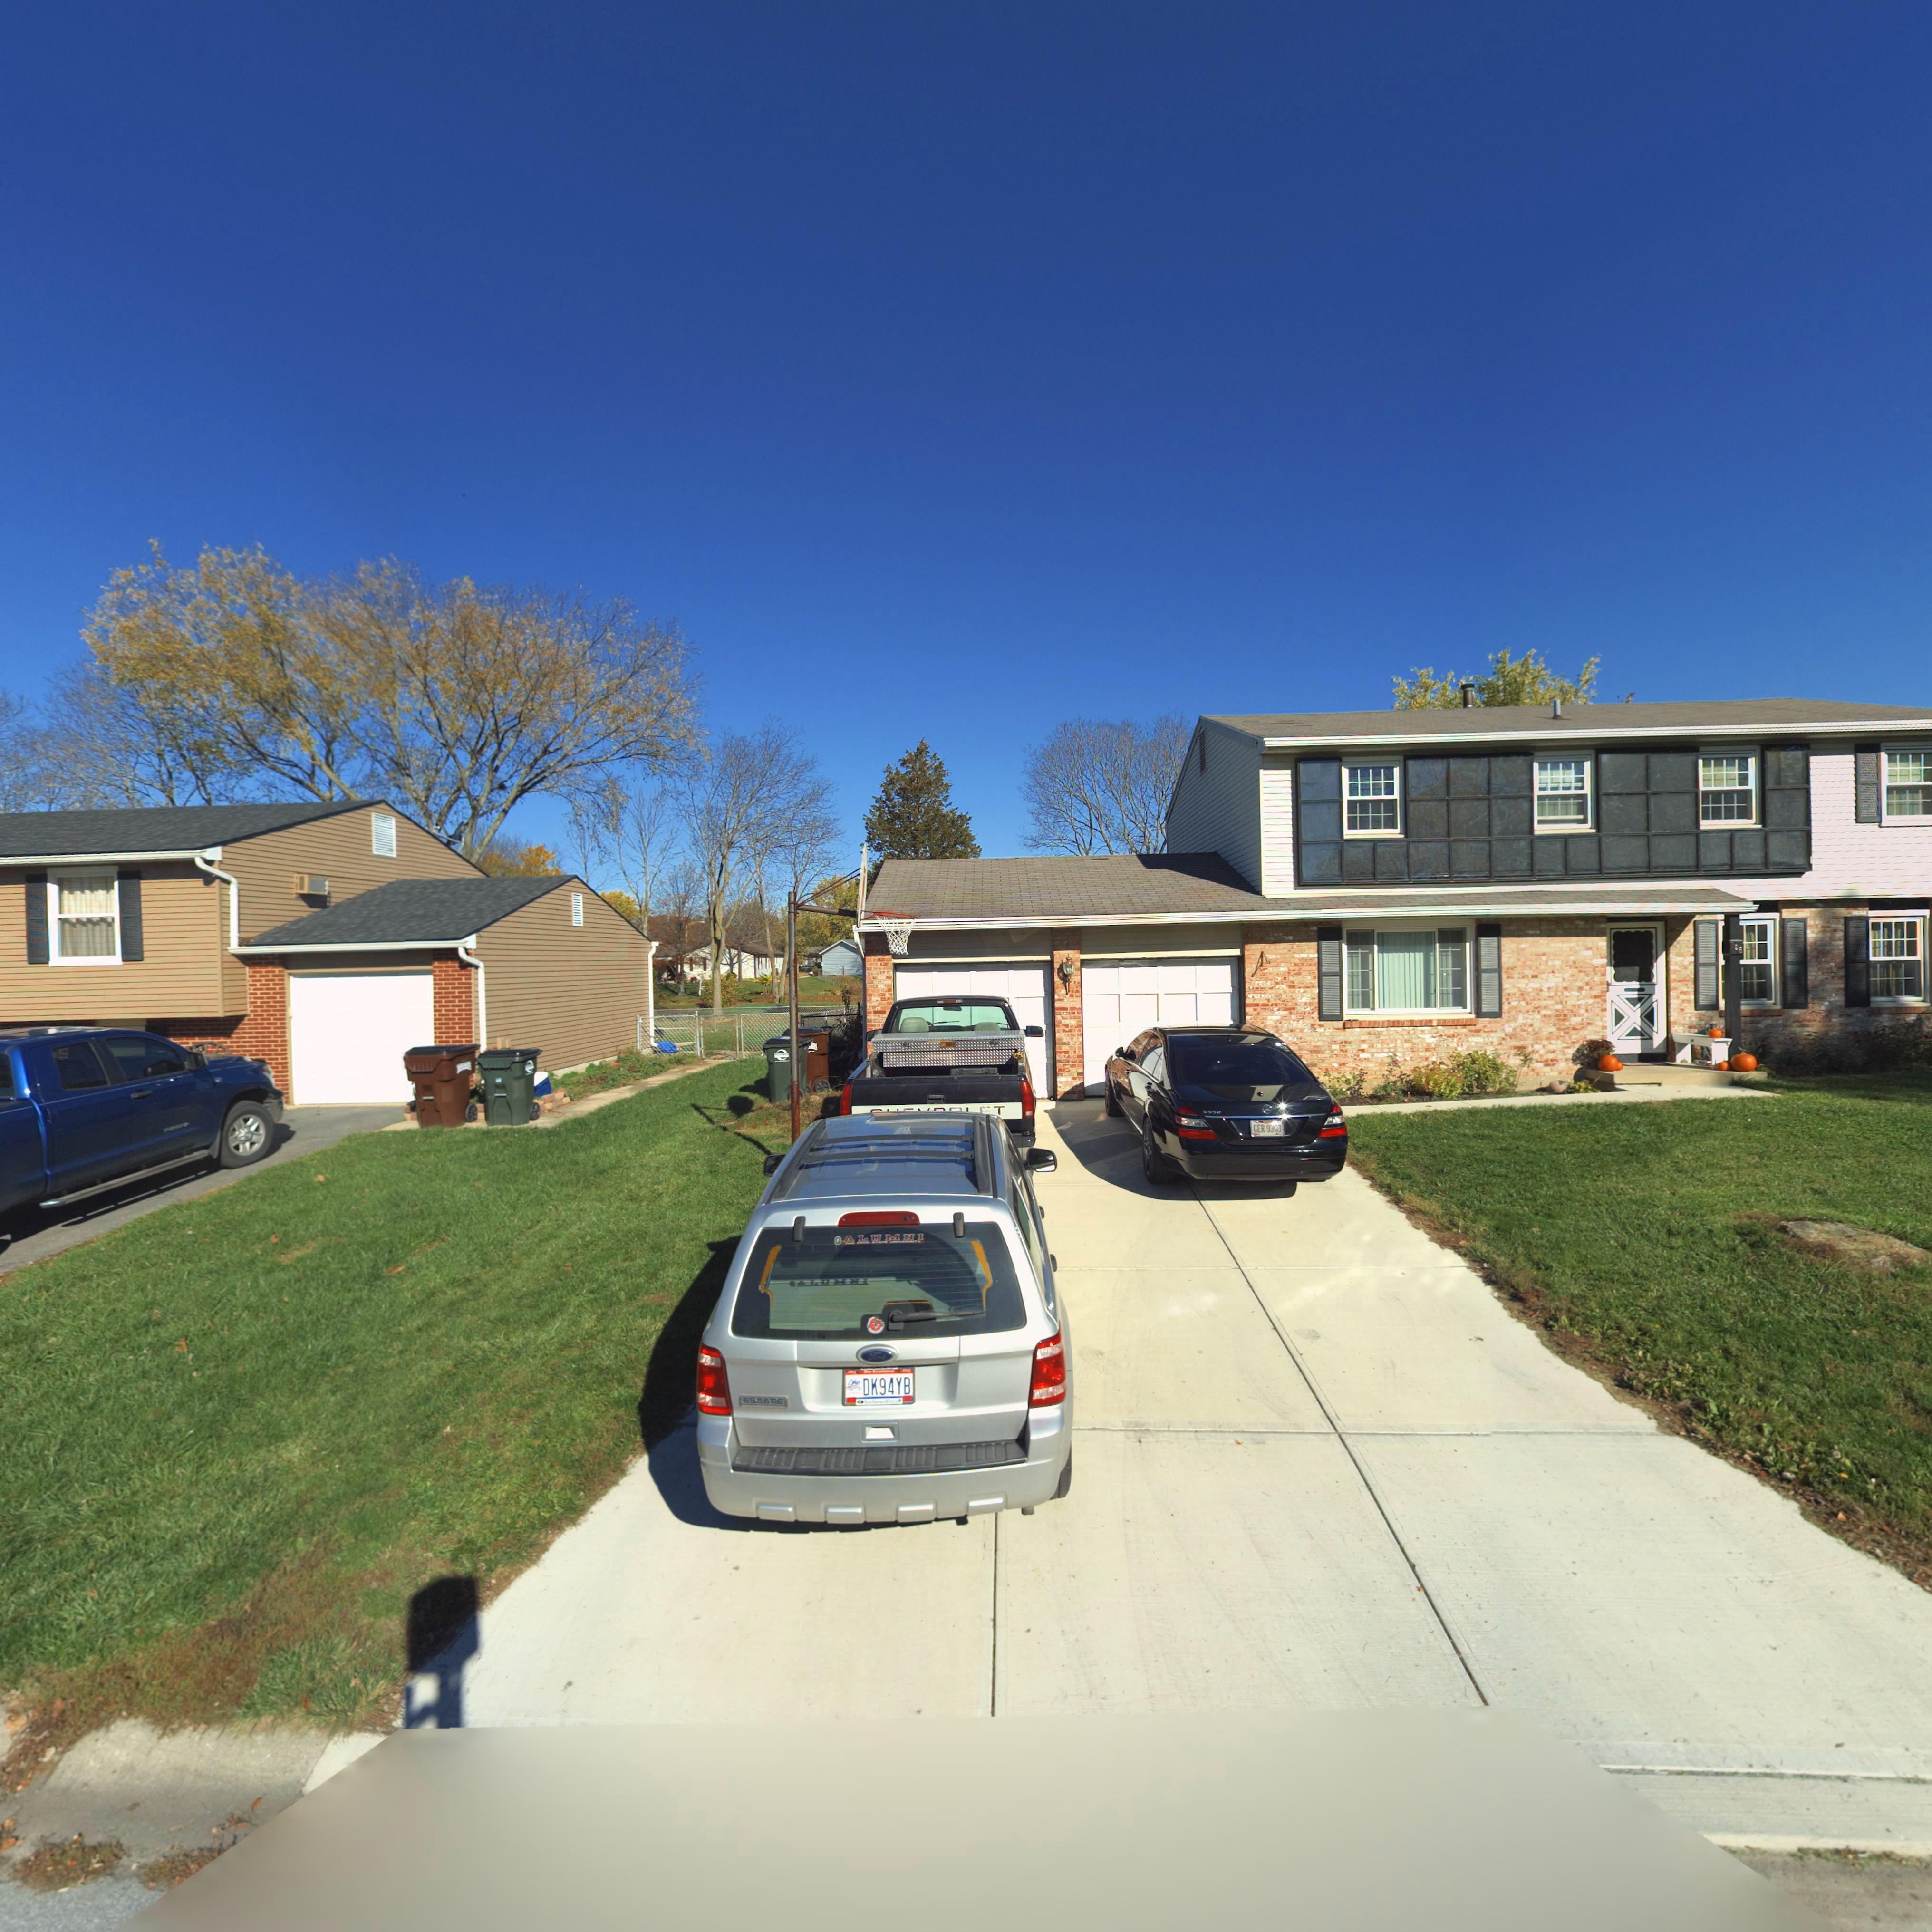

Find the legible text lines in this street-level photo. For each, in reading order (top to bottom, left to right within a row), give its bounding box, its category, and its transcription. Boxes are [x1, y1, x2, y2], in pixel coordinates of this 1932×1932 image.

[1729, 941, 1743, 954] StreetNumber: 1**